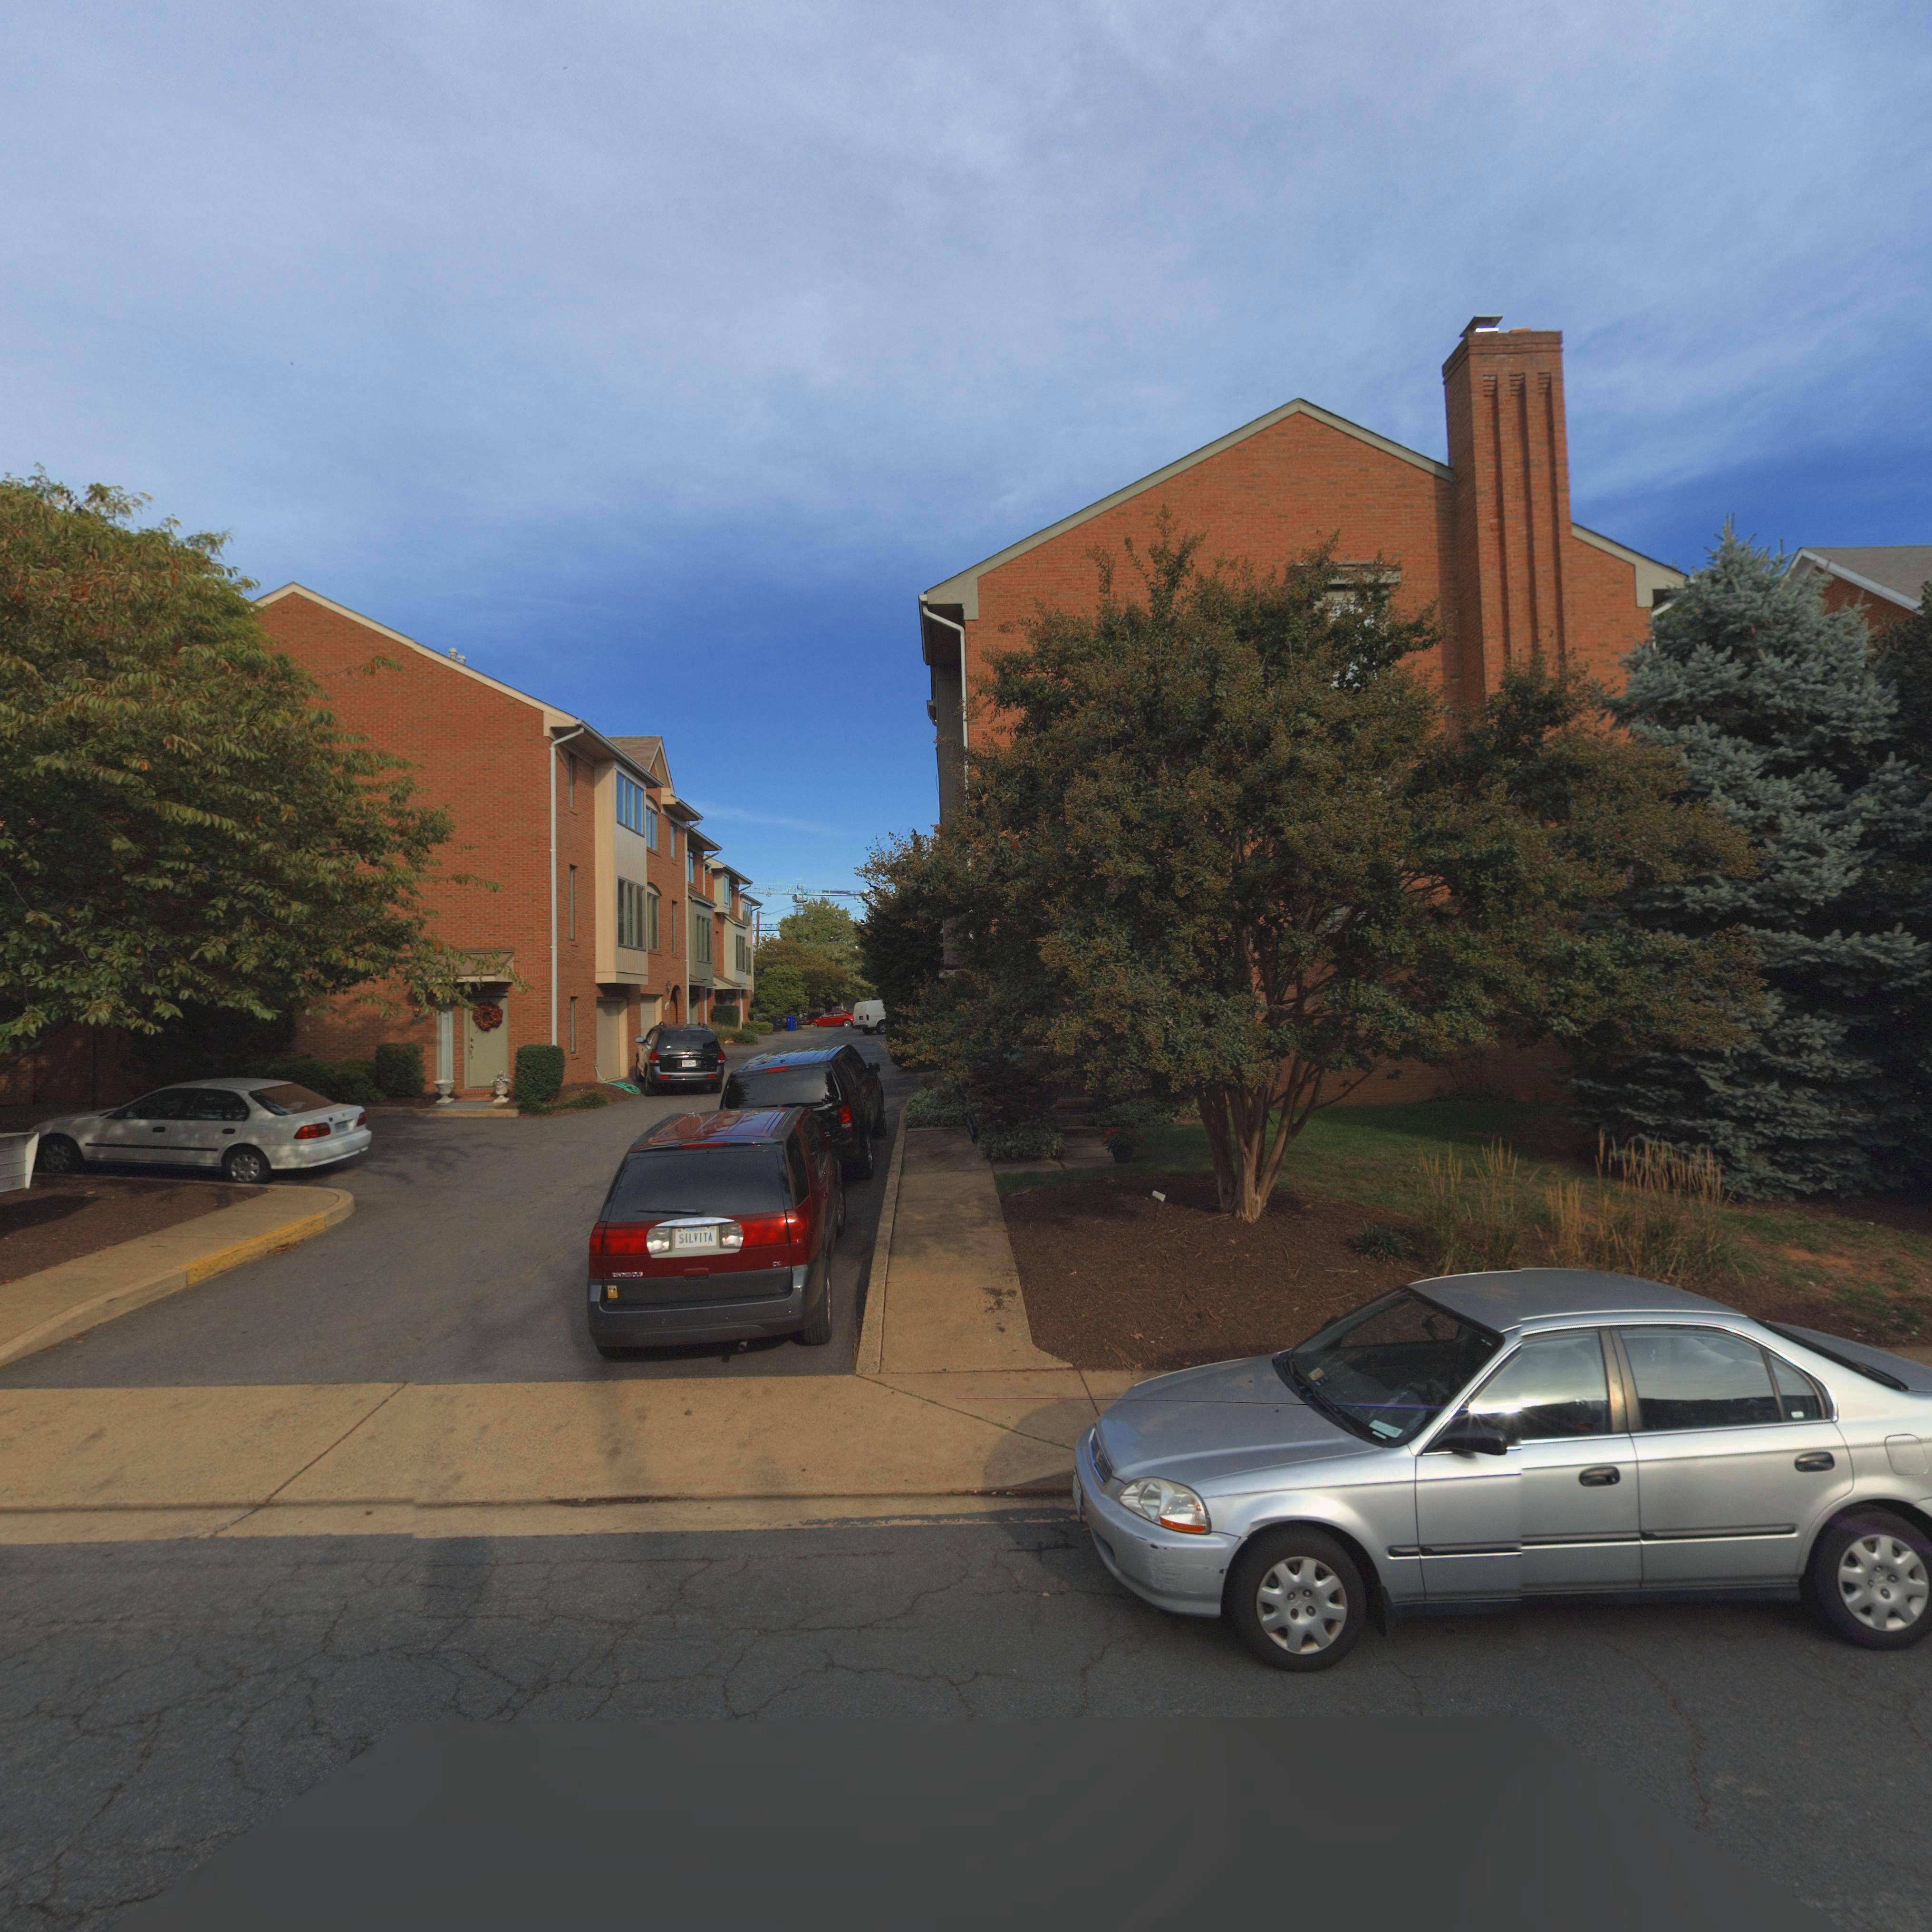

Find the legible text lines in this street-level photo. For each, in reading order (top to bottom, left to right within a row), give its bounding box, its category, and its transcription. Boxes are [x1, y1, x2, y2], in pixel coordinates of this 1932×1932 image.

[678, 1232, 713, 1244] None: SILVITA
[772, 1260, 784, 1267] None: DXL